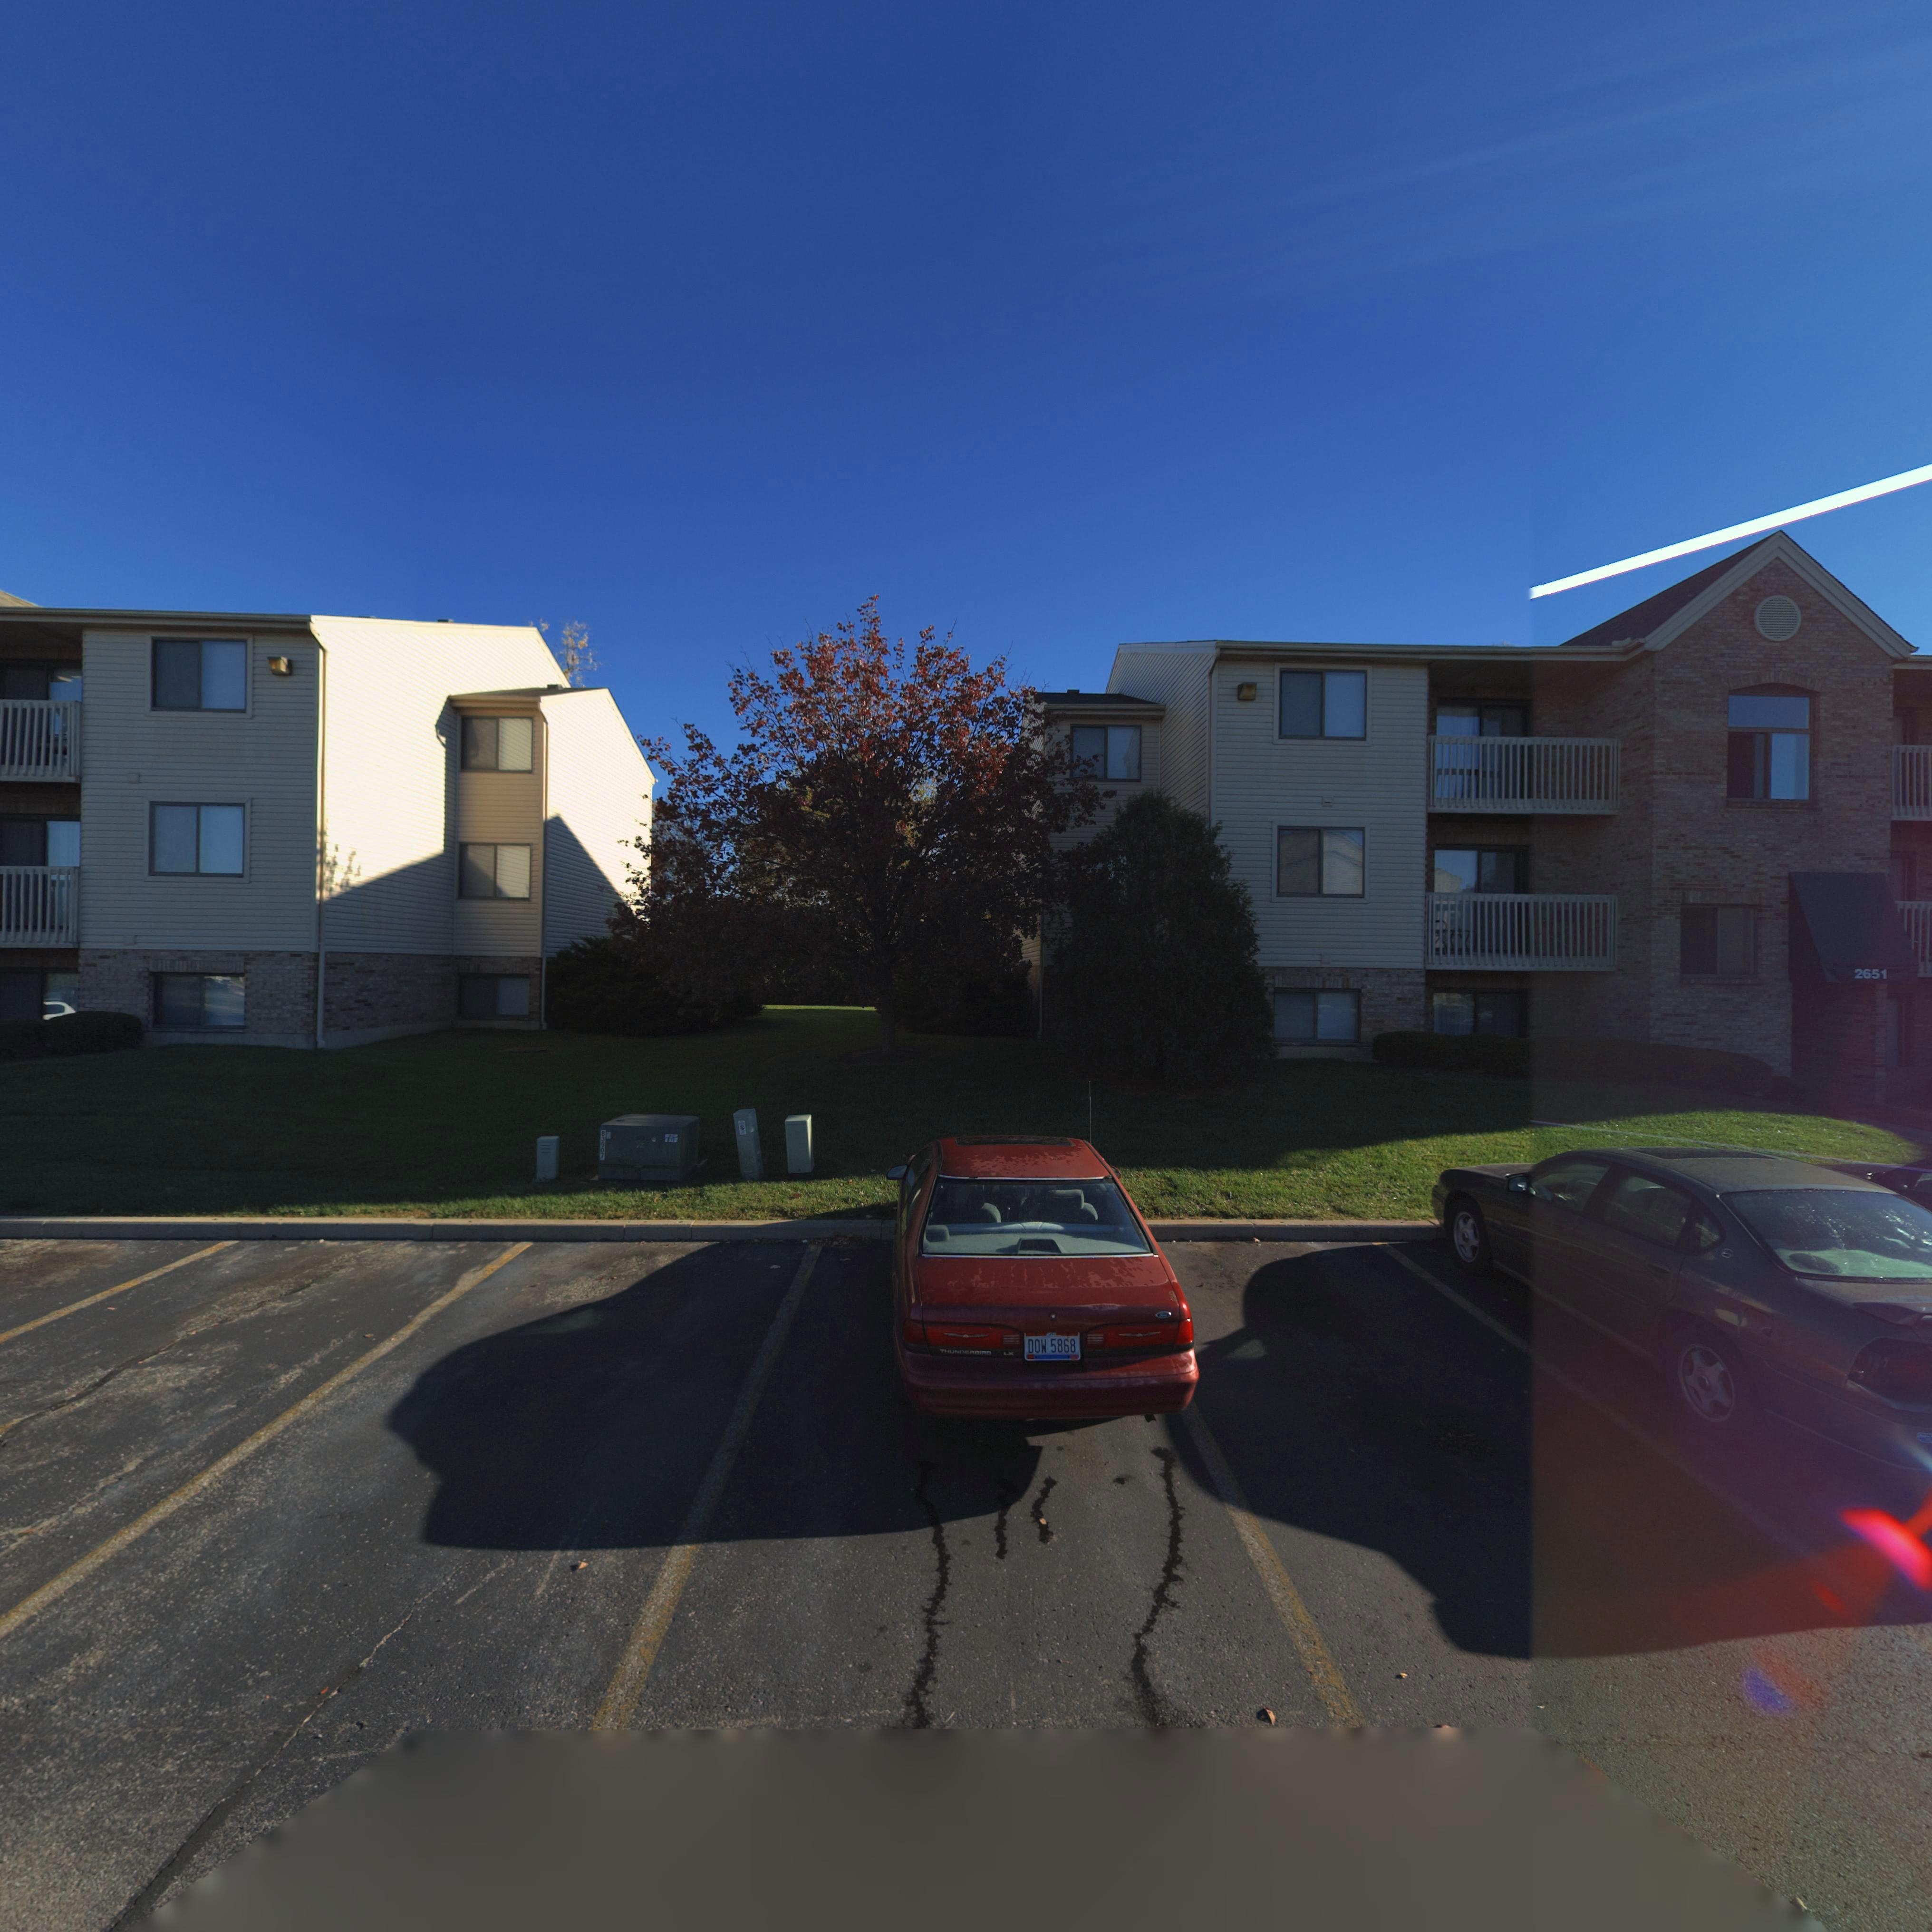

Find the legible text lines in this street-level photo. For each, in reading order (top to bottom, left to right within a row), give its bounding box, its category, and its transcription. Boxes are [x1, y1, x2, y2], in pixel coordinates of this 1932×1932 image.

[1853, 967, 1888, 981] StreetNumber: 2651